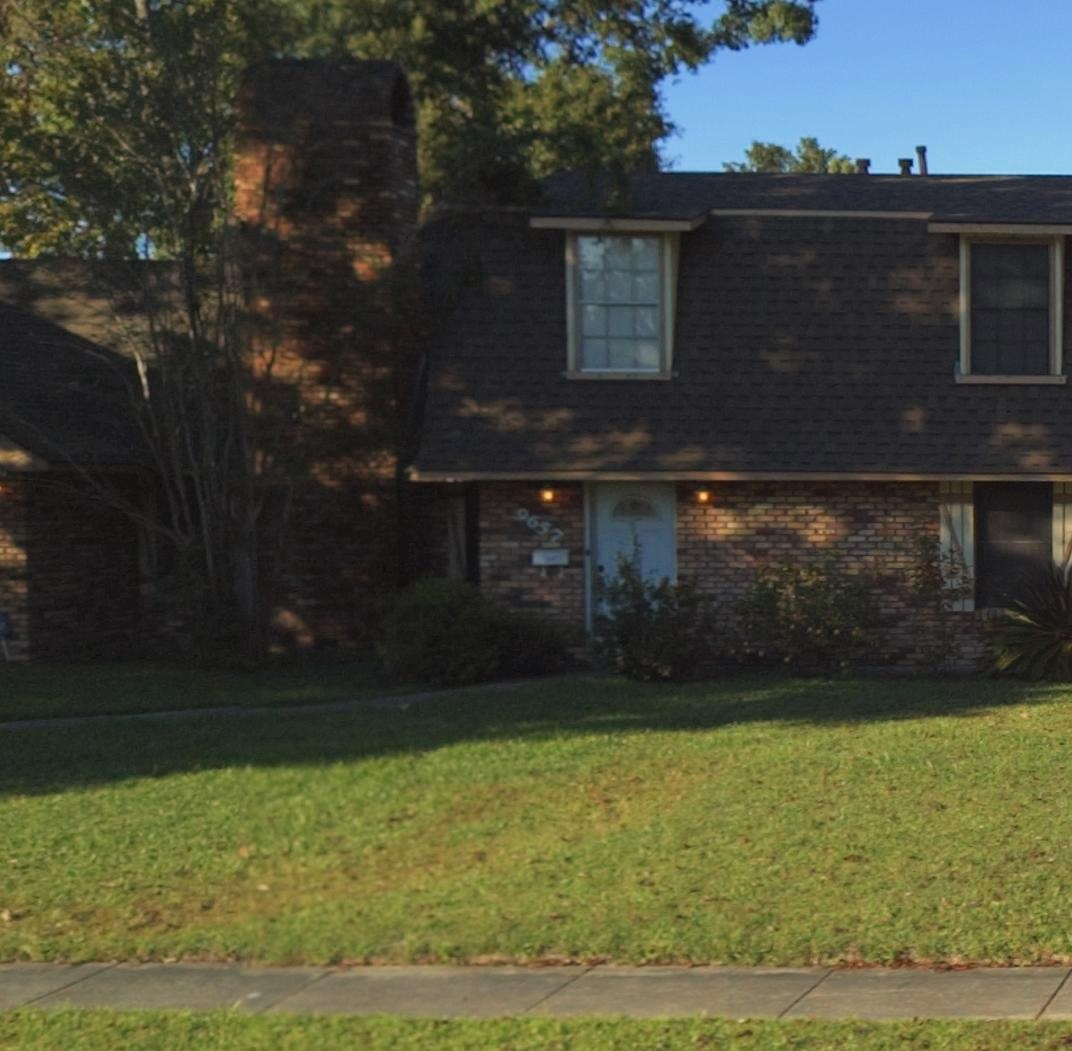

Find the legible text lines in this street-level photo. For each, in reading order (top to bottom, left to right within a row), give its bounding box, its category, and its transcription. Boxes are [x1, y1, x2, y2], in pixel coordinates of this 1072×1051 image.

[509, 506, 569, 546] StreetNumber: 9657